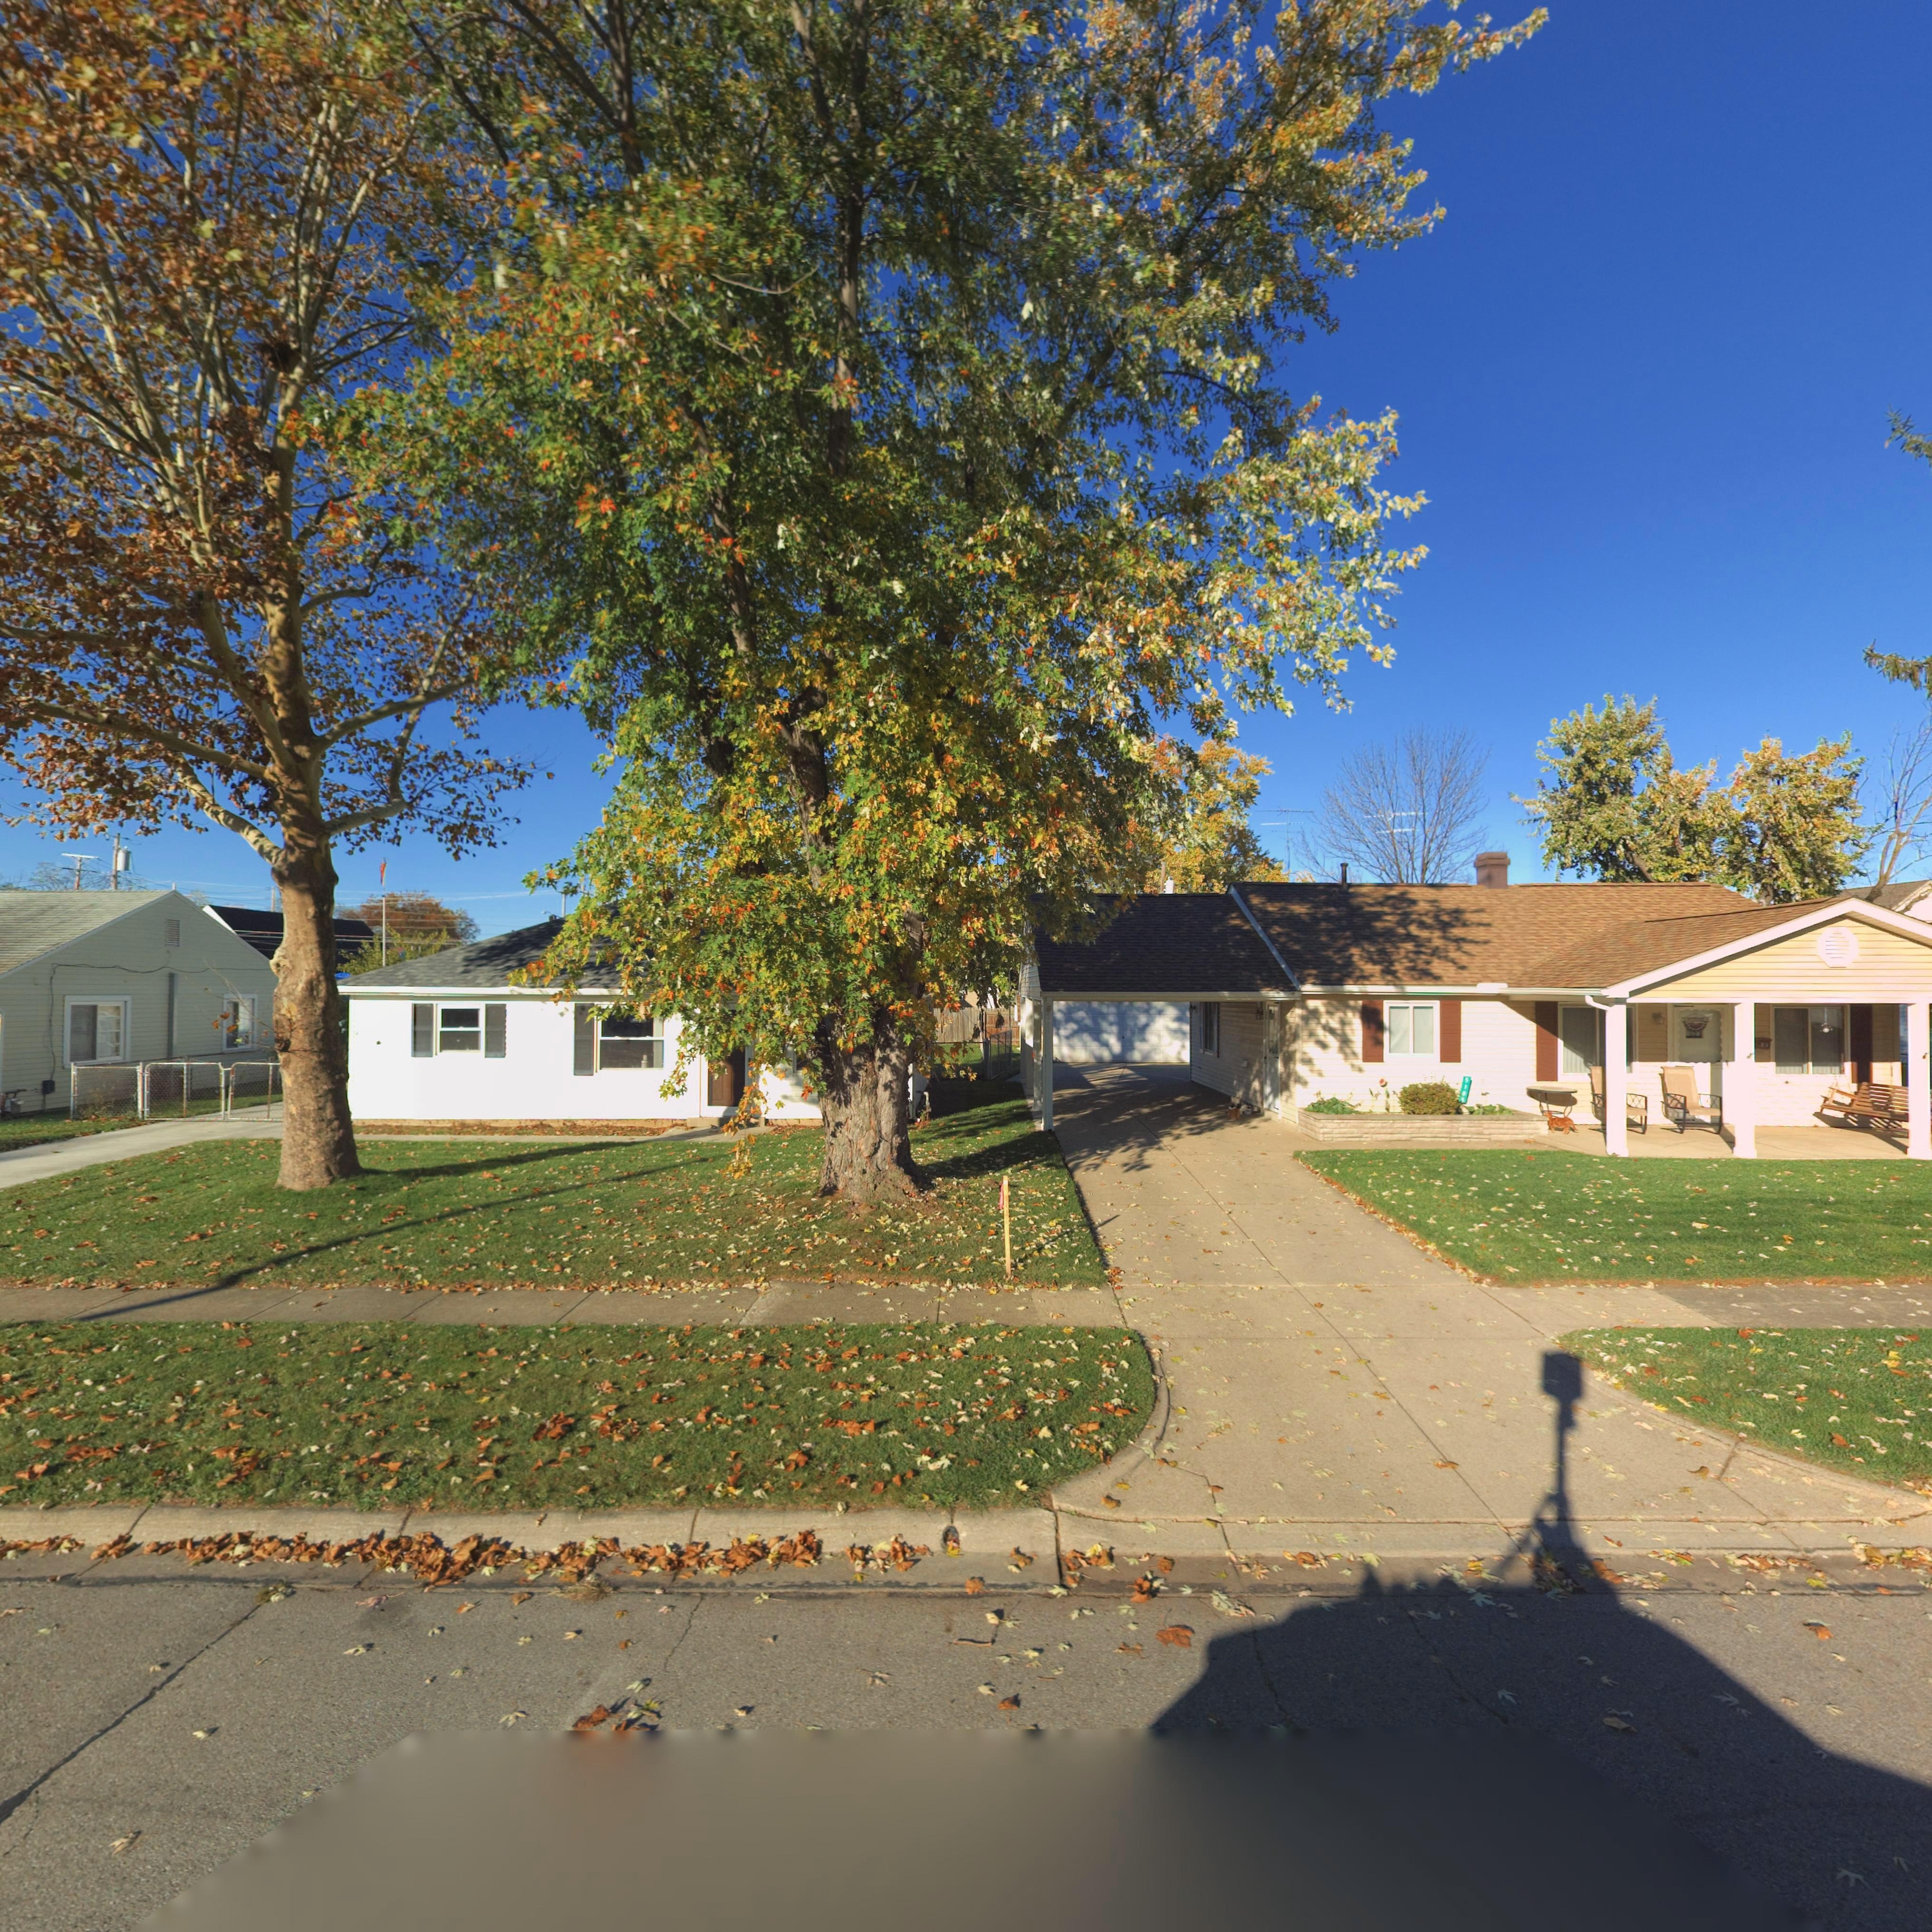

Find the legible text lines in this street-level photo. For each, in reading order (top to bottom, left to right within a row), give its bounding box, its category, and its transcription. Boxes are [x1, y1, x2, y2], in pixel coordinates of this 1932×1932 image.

[1760, 1042, 1769, 1048] StreetNumber: 05
[1459, 1076, 1470, 1103] StreetNumber: 5105